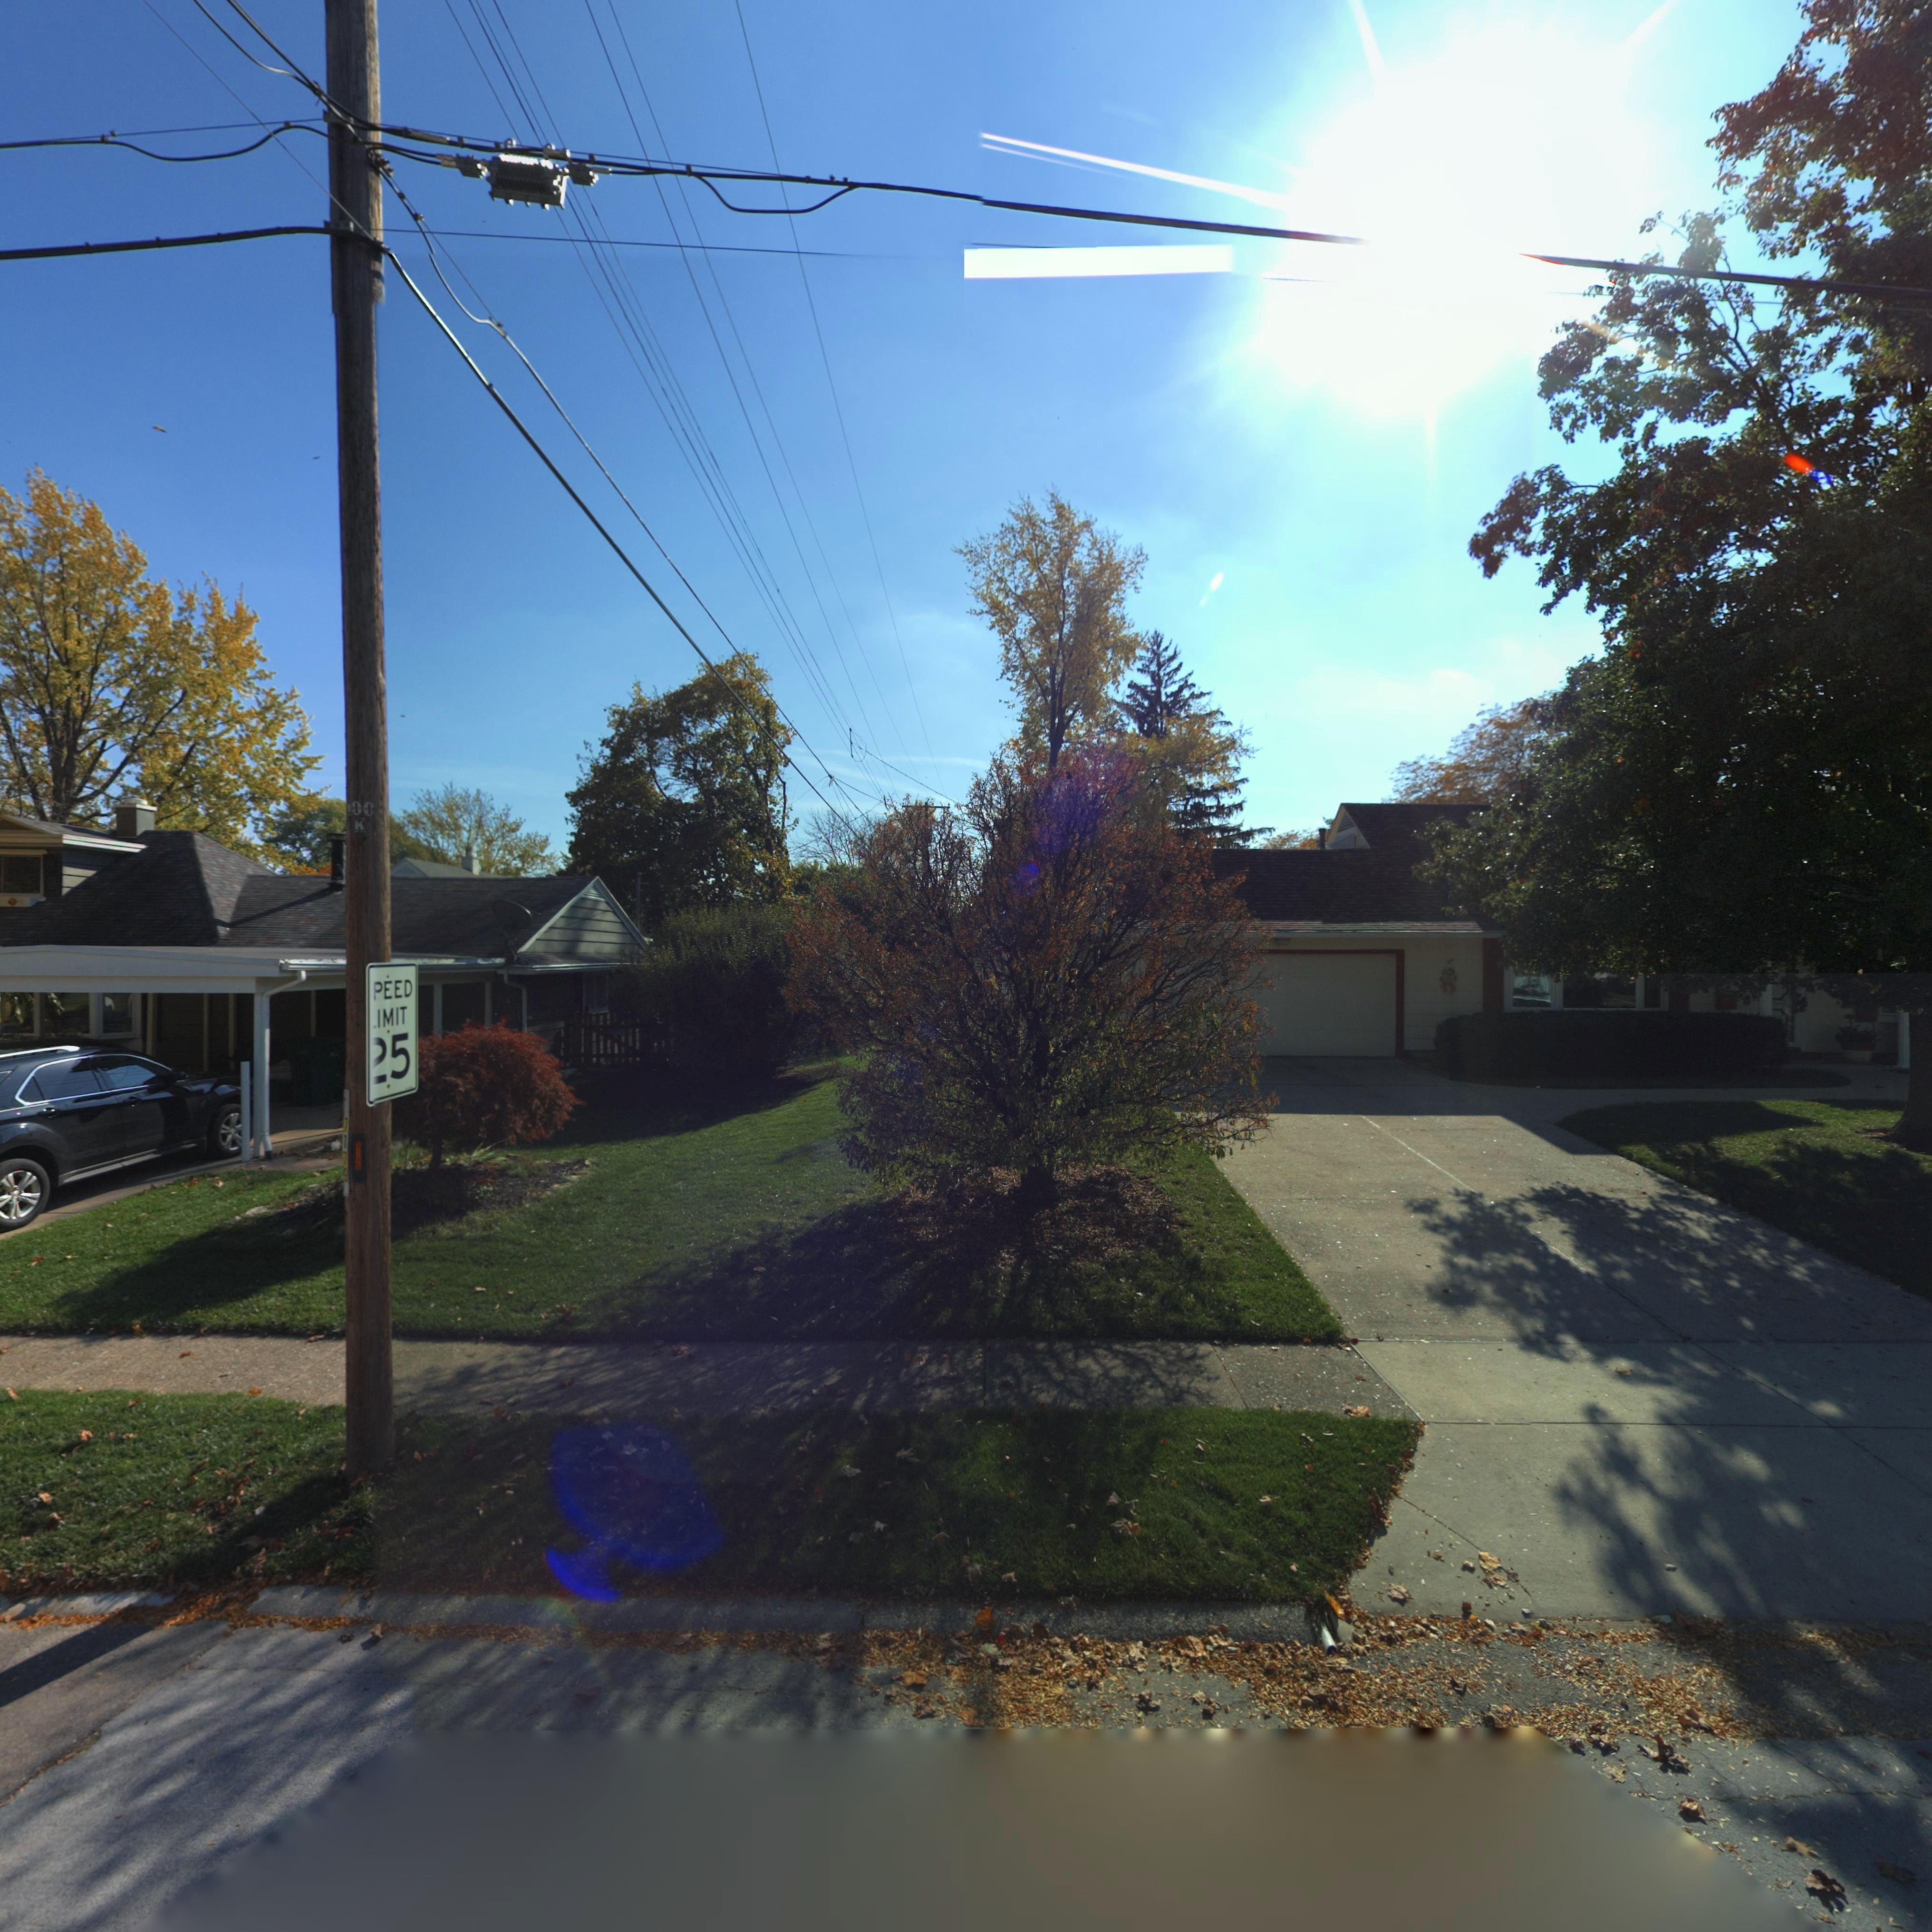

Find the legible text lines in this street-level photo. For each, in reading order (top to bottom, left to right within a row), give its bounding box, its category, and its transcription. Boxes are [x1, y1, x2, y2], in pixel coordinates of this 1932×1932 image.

[350, 799, 377, 818] None: 00
[352, 816, 367, 834] None: K
[372, 978, 415, 1003] None: PEED
[376, 1004, 409, 1031] None: IMIT
[388, 1030, 412, 1082] None: 5
[341, 1116, 350, 1184] None: 7179